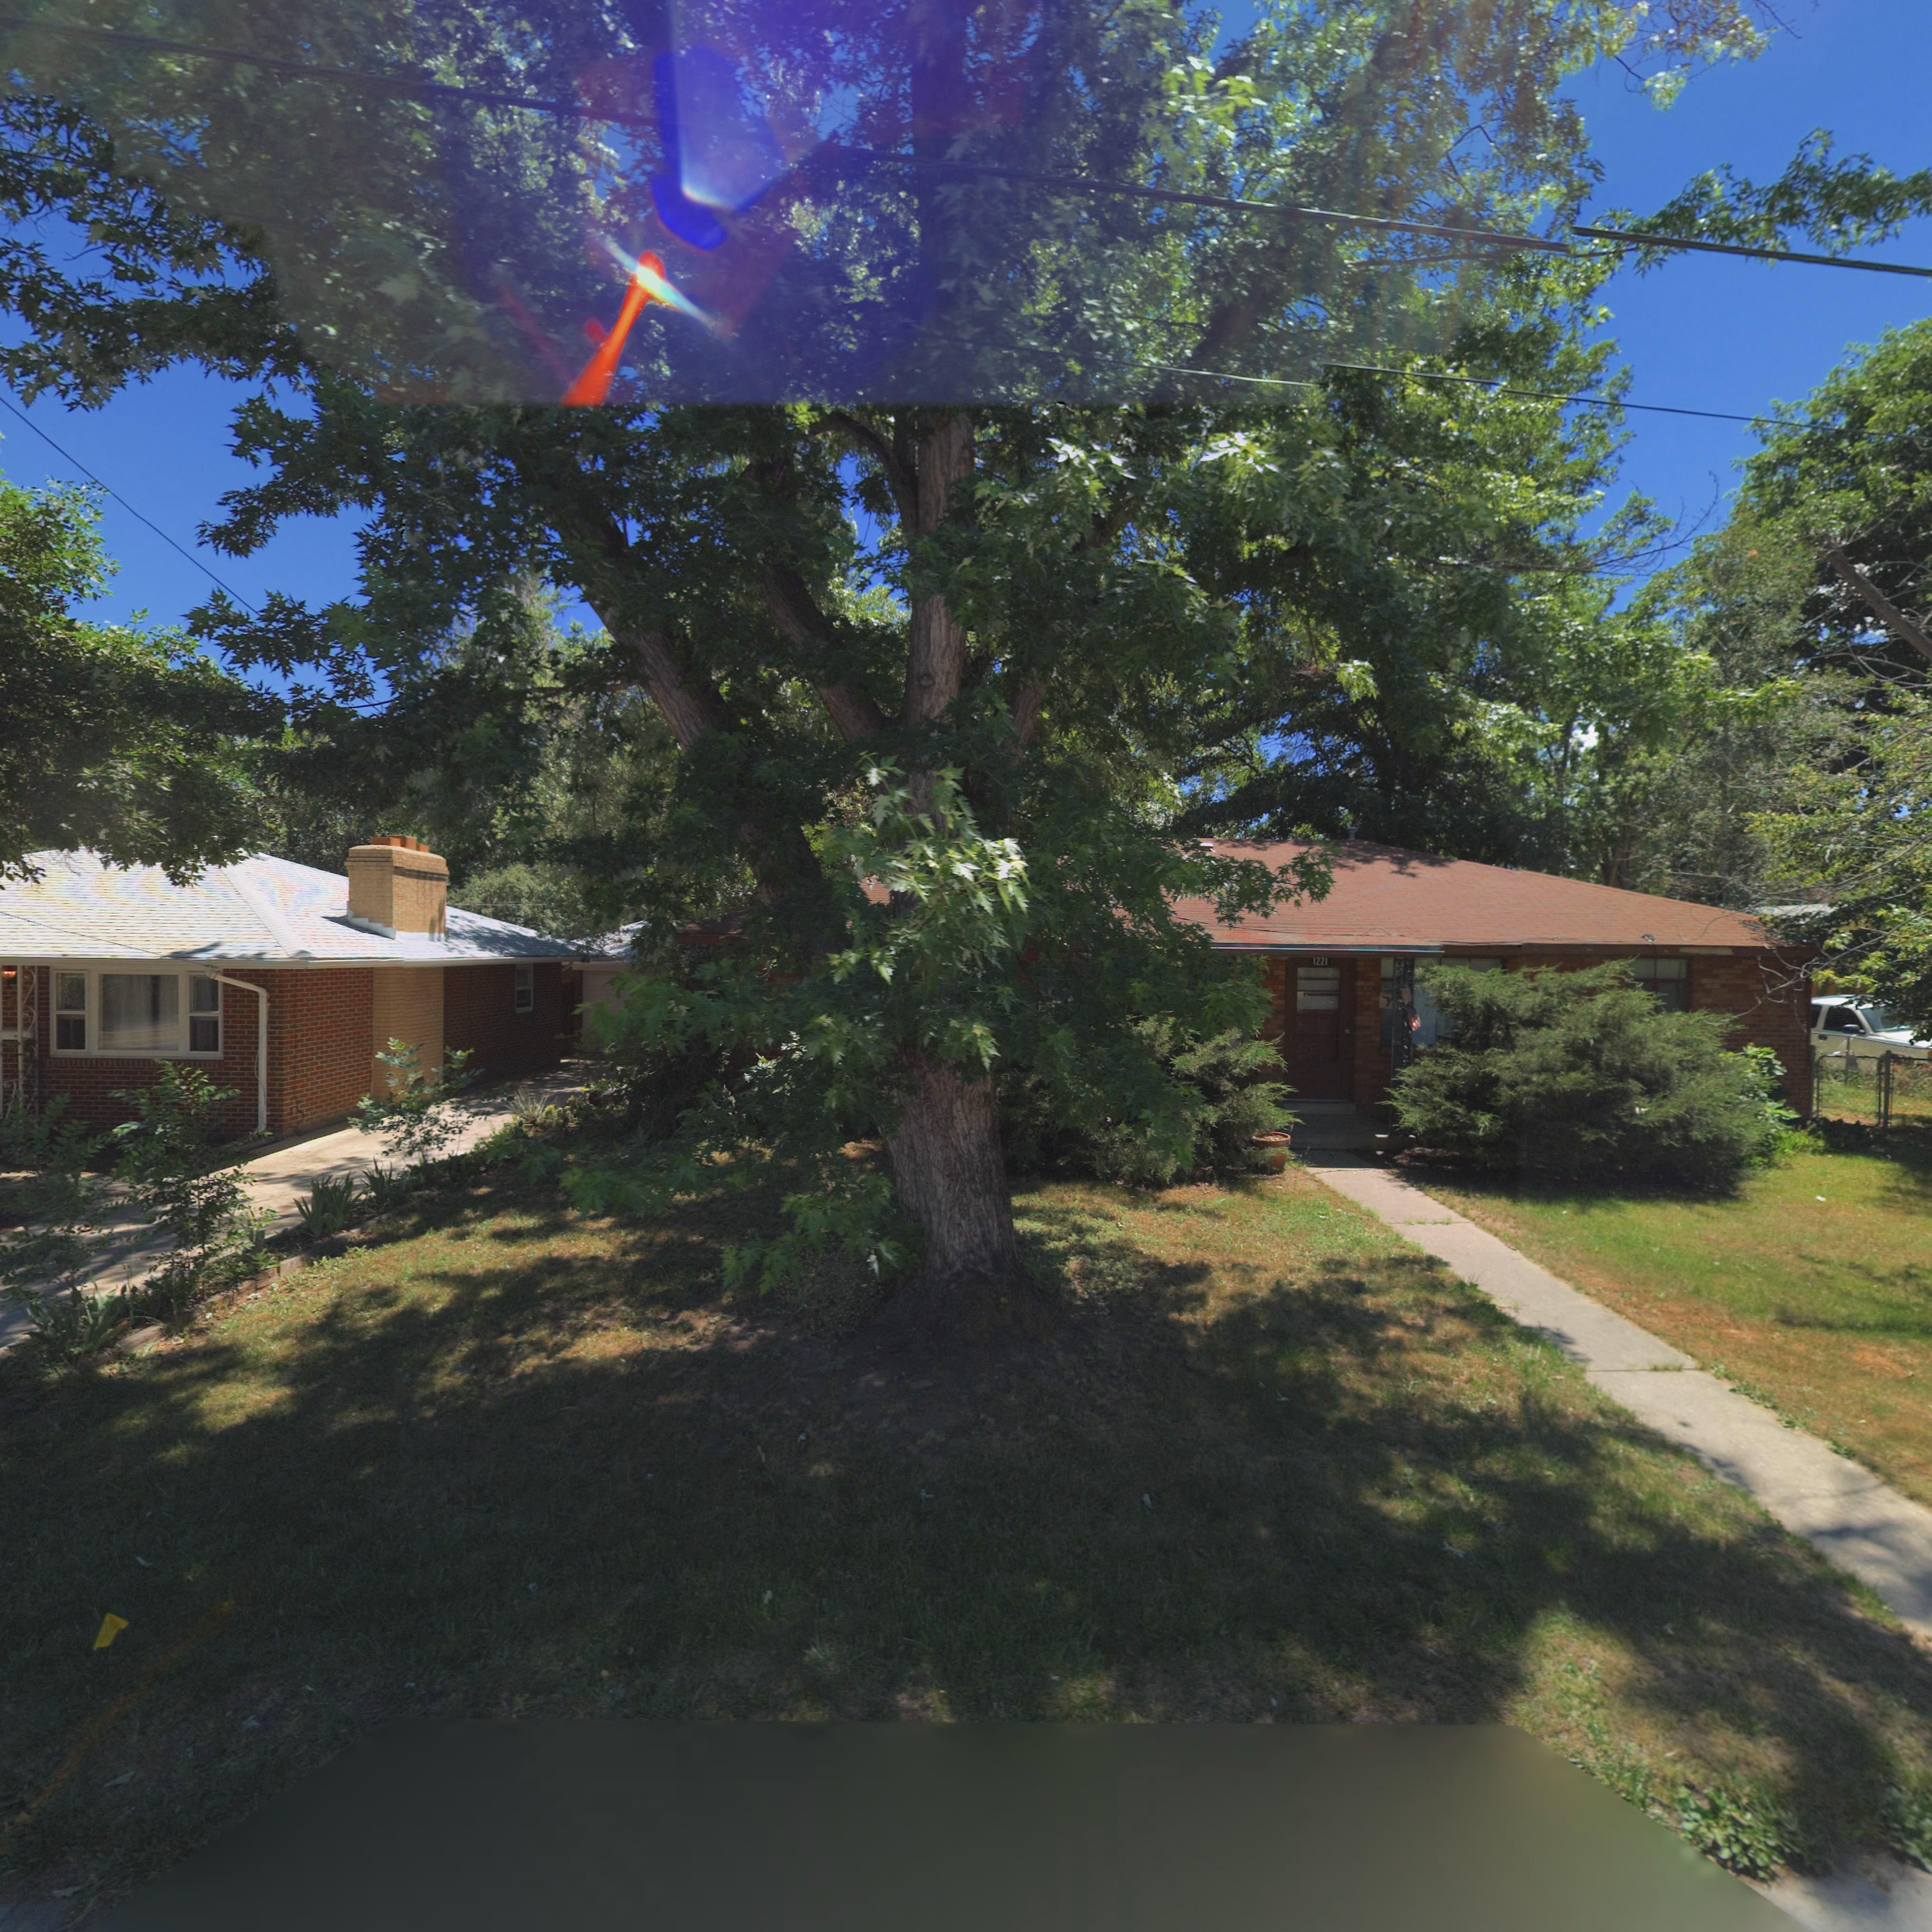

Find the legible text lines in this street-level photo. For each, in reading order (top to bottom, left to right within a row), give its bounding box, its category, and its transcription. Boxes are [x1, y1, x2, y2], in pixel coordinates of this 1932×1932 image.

[1313, 957, 1327, 966] StreetNumber: 1221